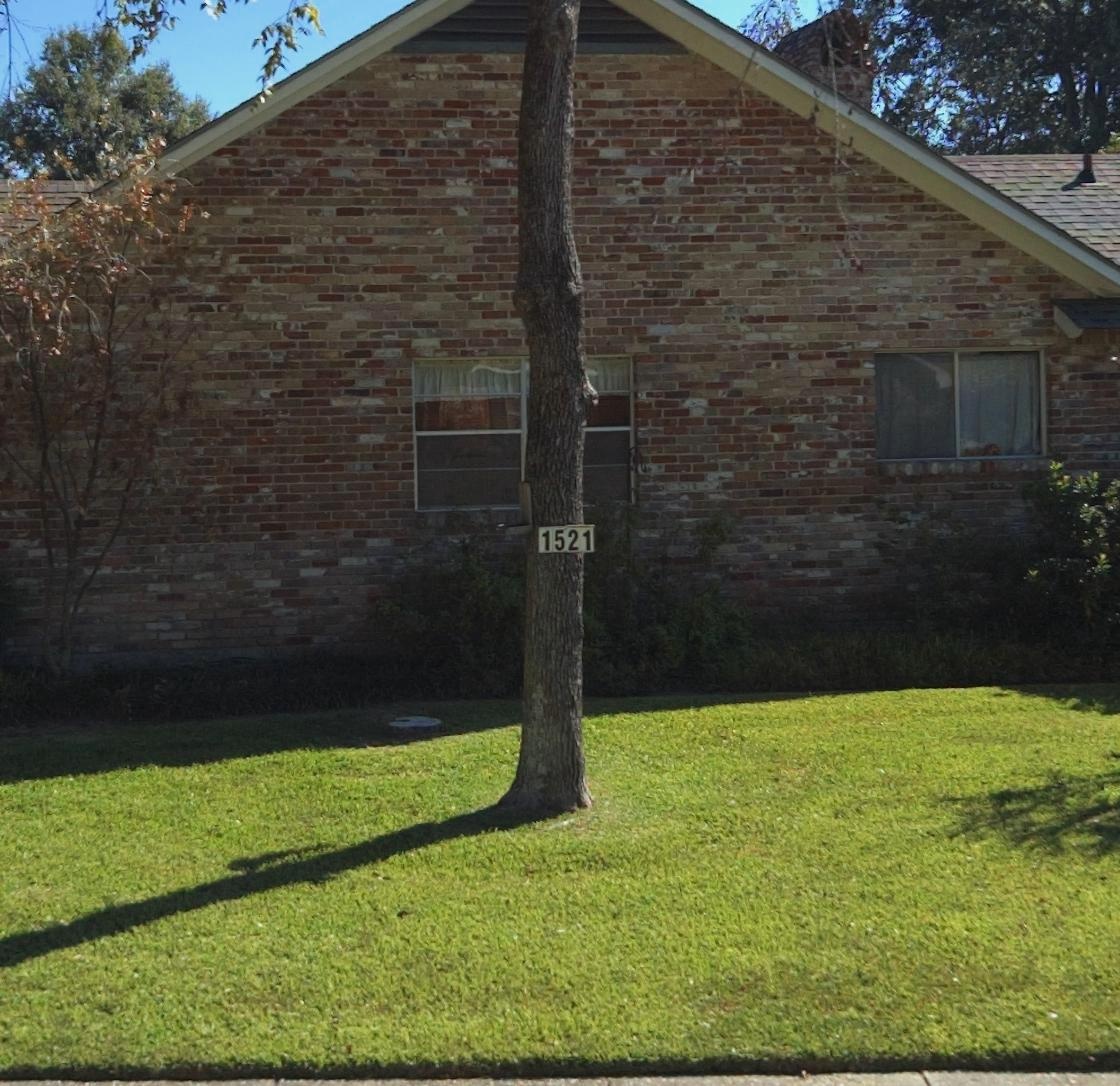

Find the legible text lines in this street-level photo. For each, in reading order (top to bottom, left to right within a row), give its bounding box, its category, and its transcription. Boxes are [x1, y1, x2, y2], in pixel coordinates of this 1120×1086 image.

[540, 526, 594, 553] StreetNumber: 1521